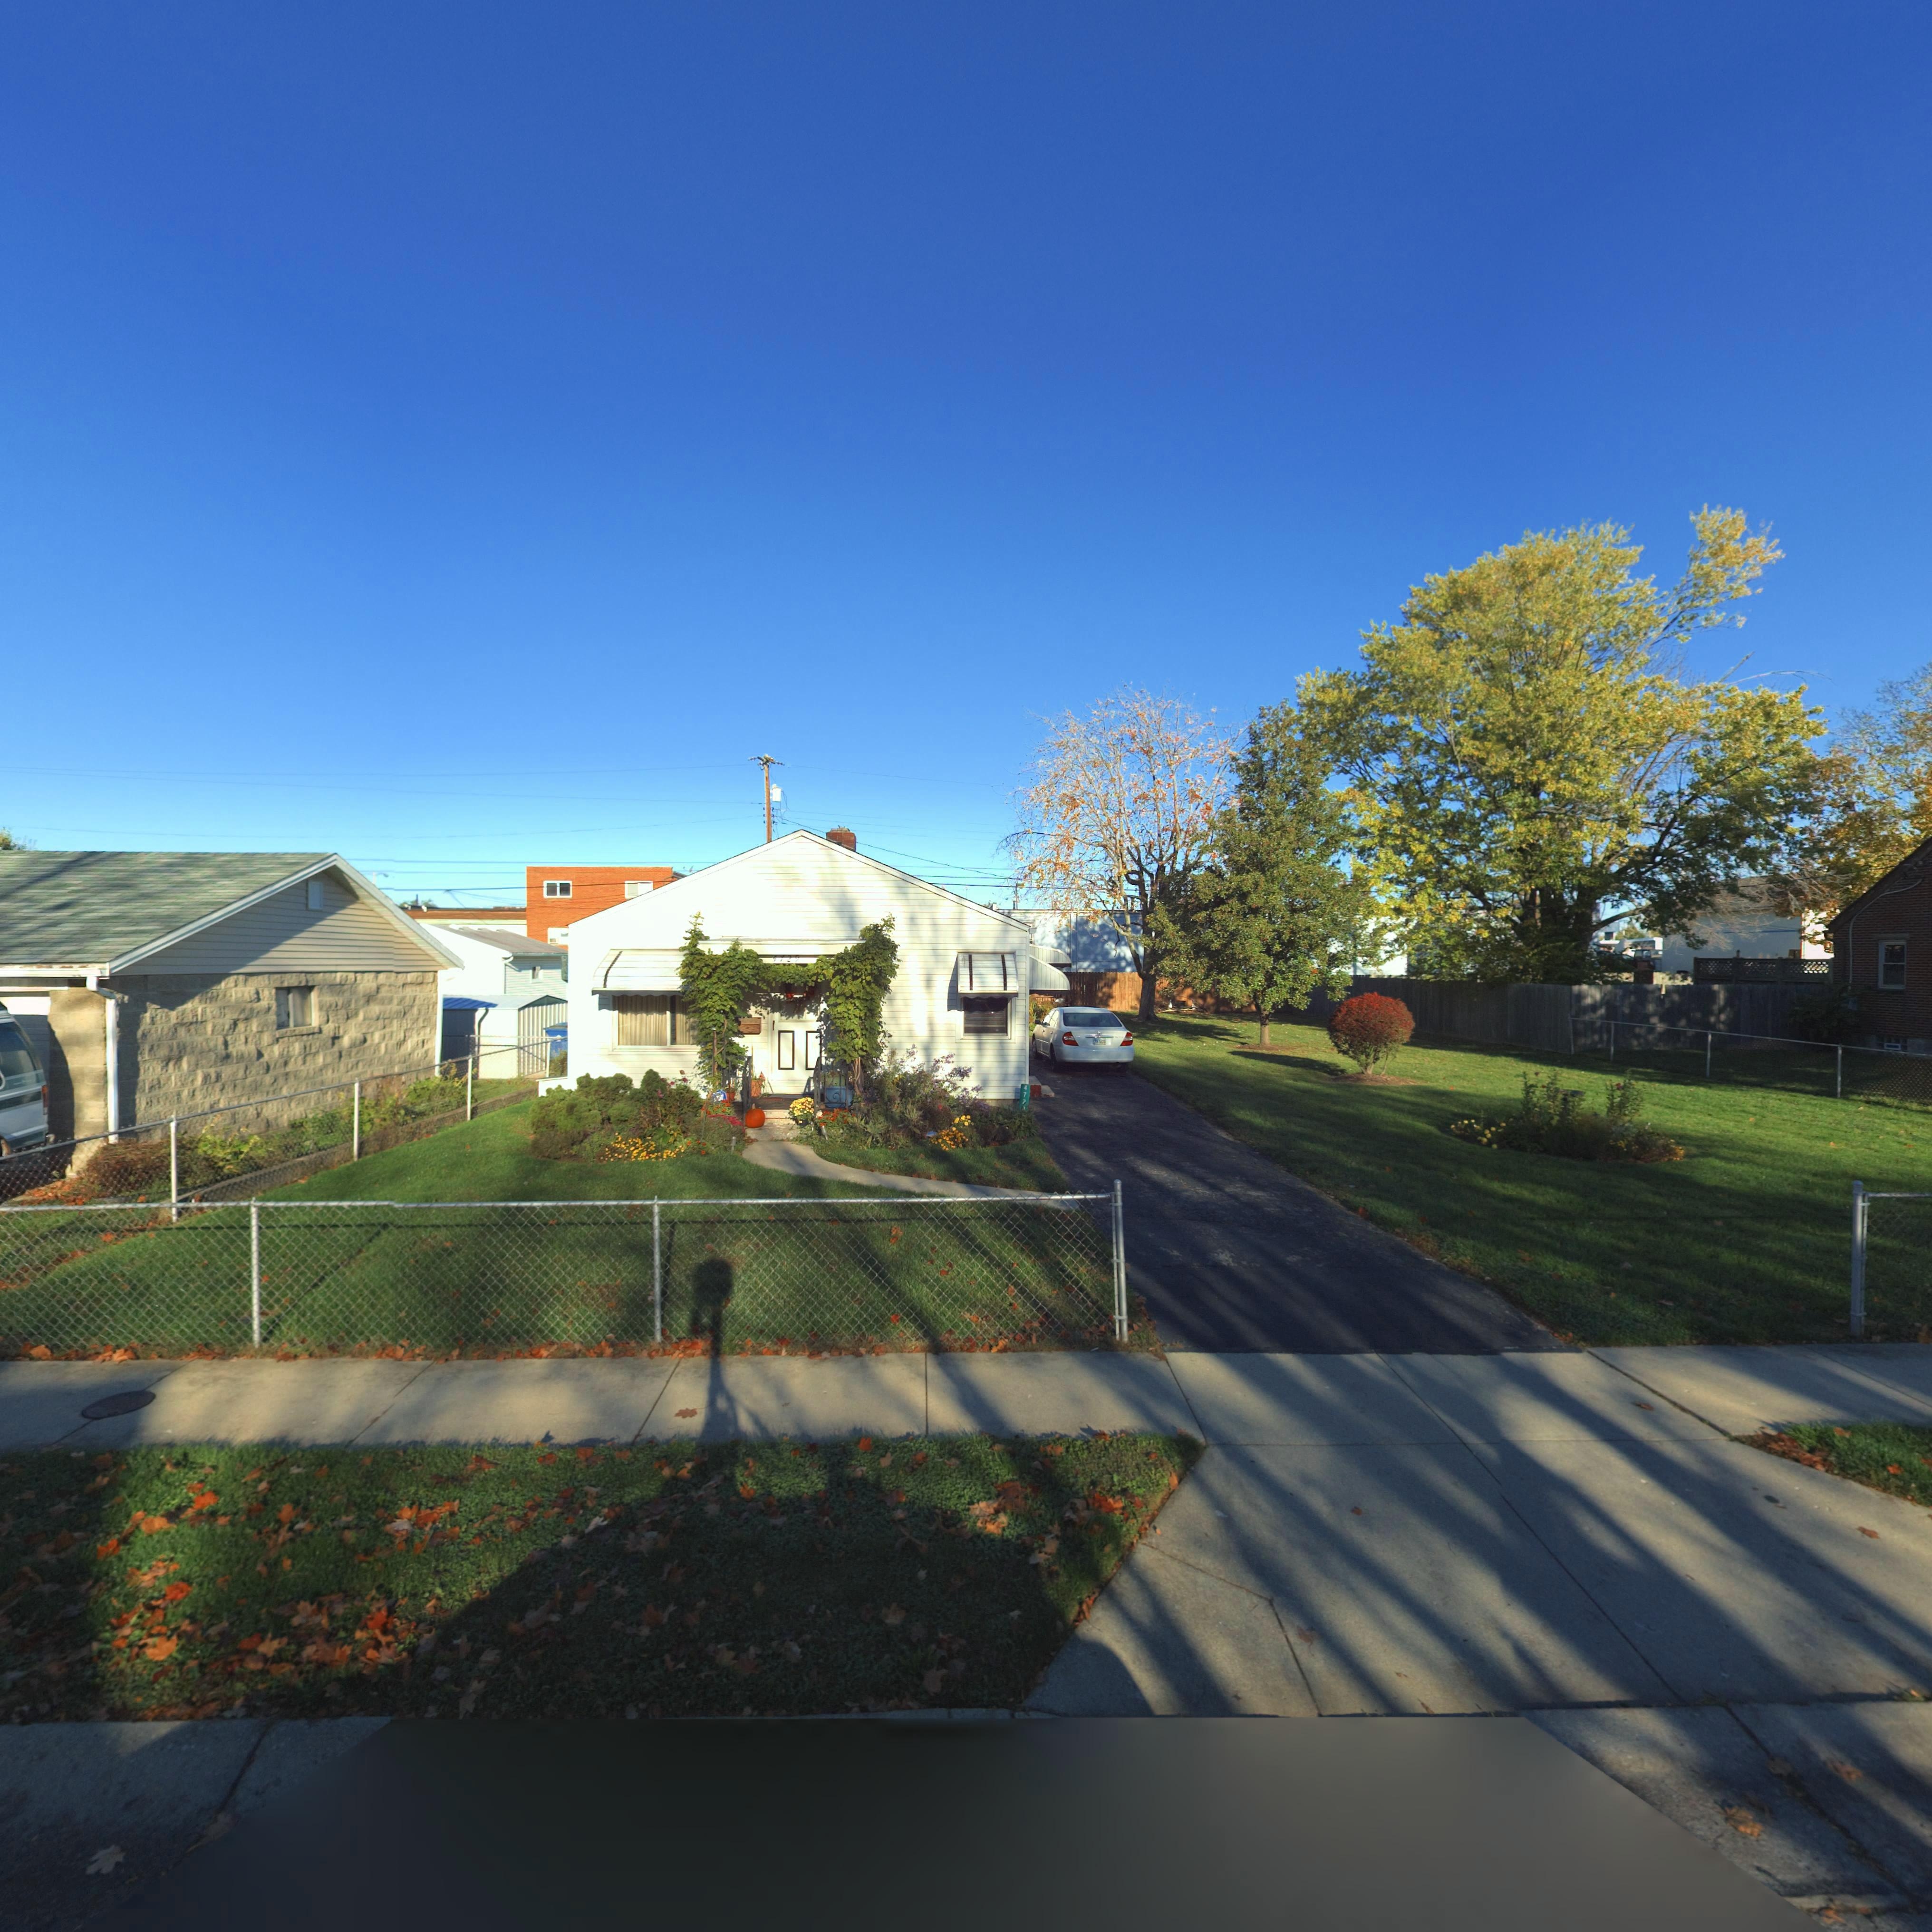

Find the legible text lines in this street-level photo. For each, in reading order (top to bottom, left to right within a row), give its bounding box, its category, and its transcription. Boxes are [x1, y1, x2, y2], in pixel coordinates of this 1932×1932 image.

[771, 954, 801, 963] StreetNumber: 4729
[1023, 1083, 1028, 1099] StreetNumber: 47